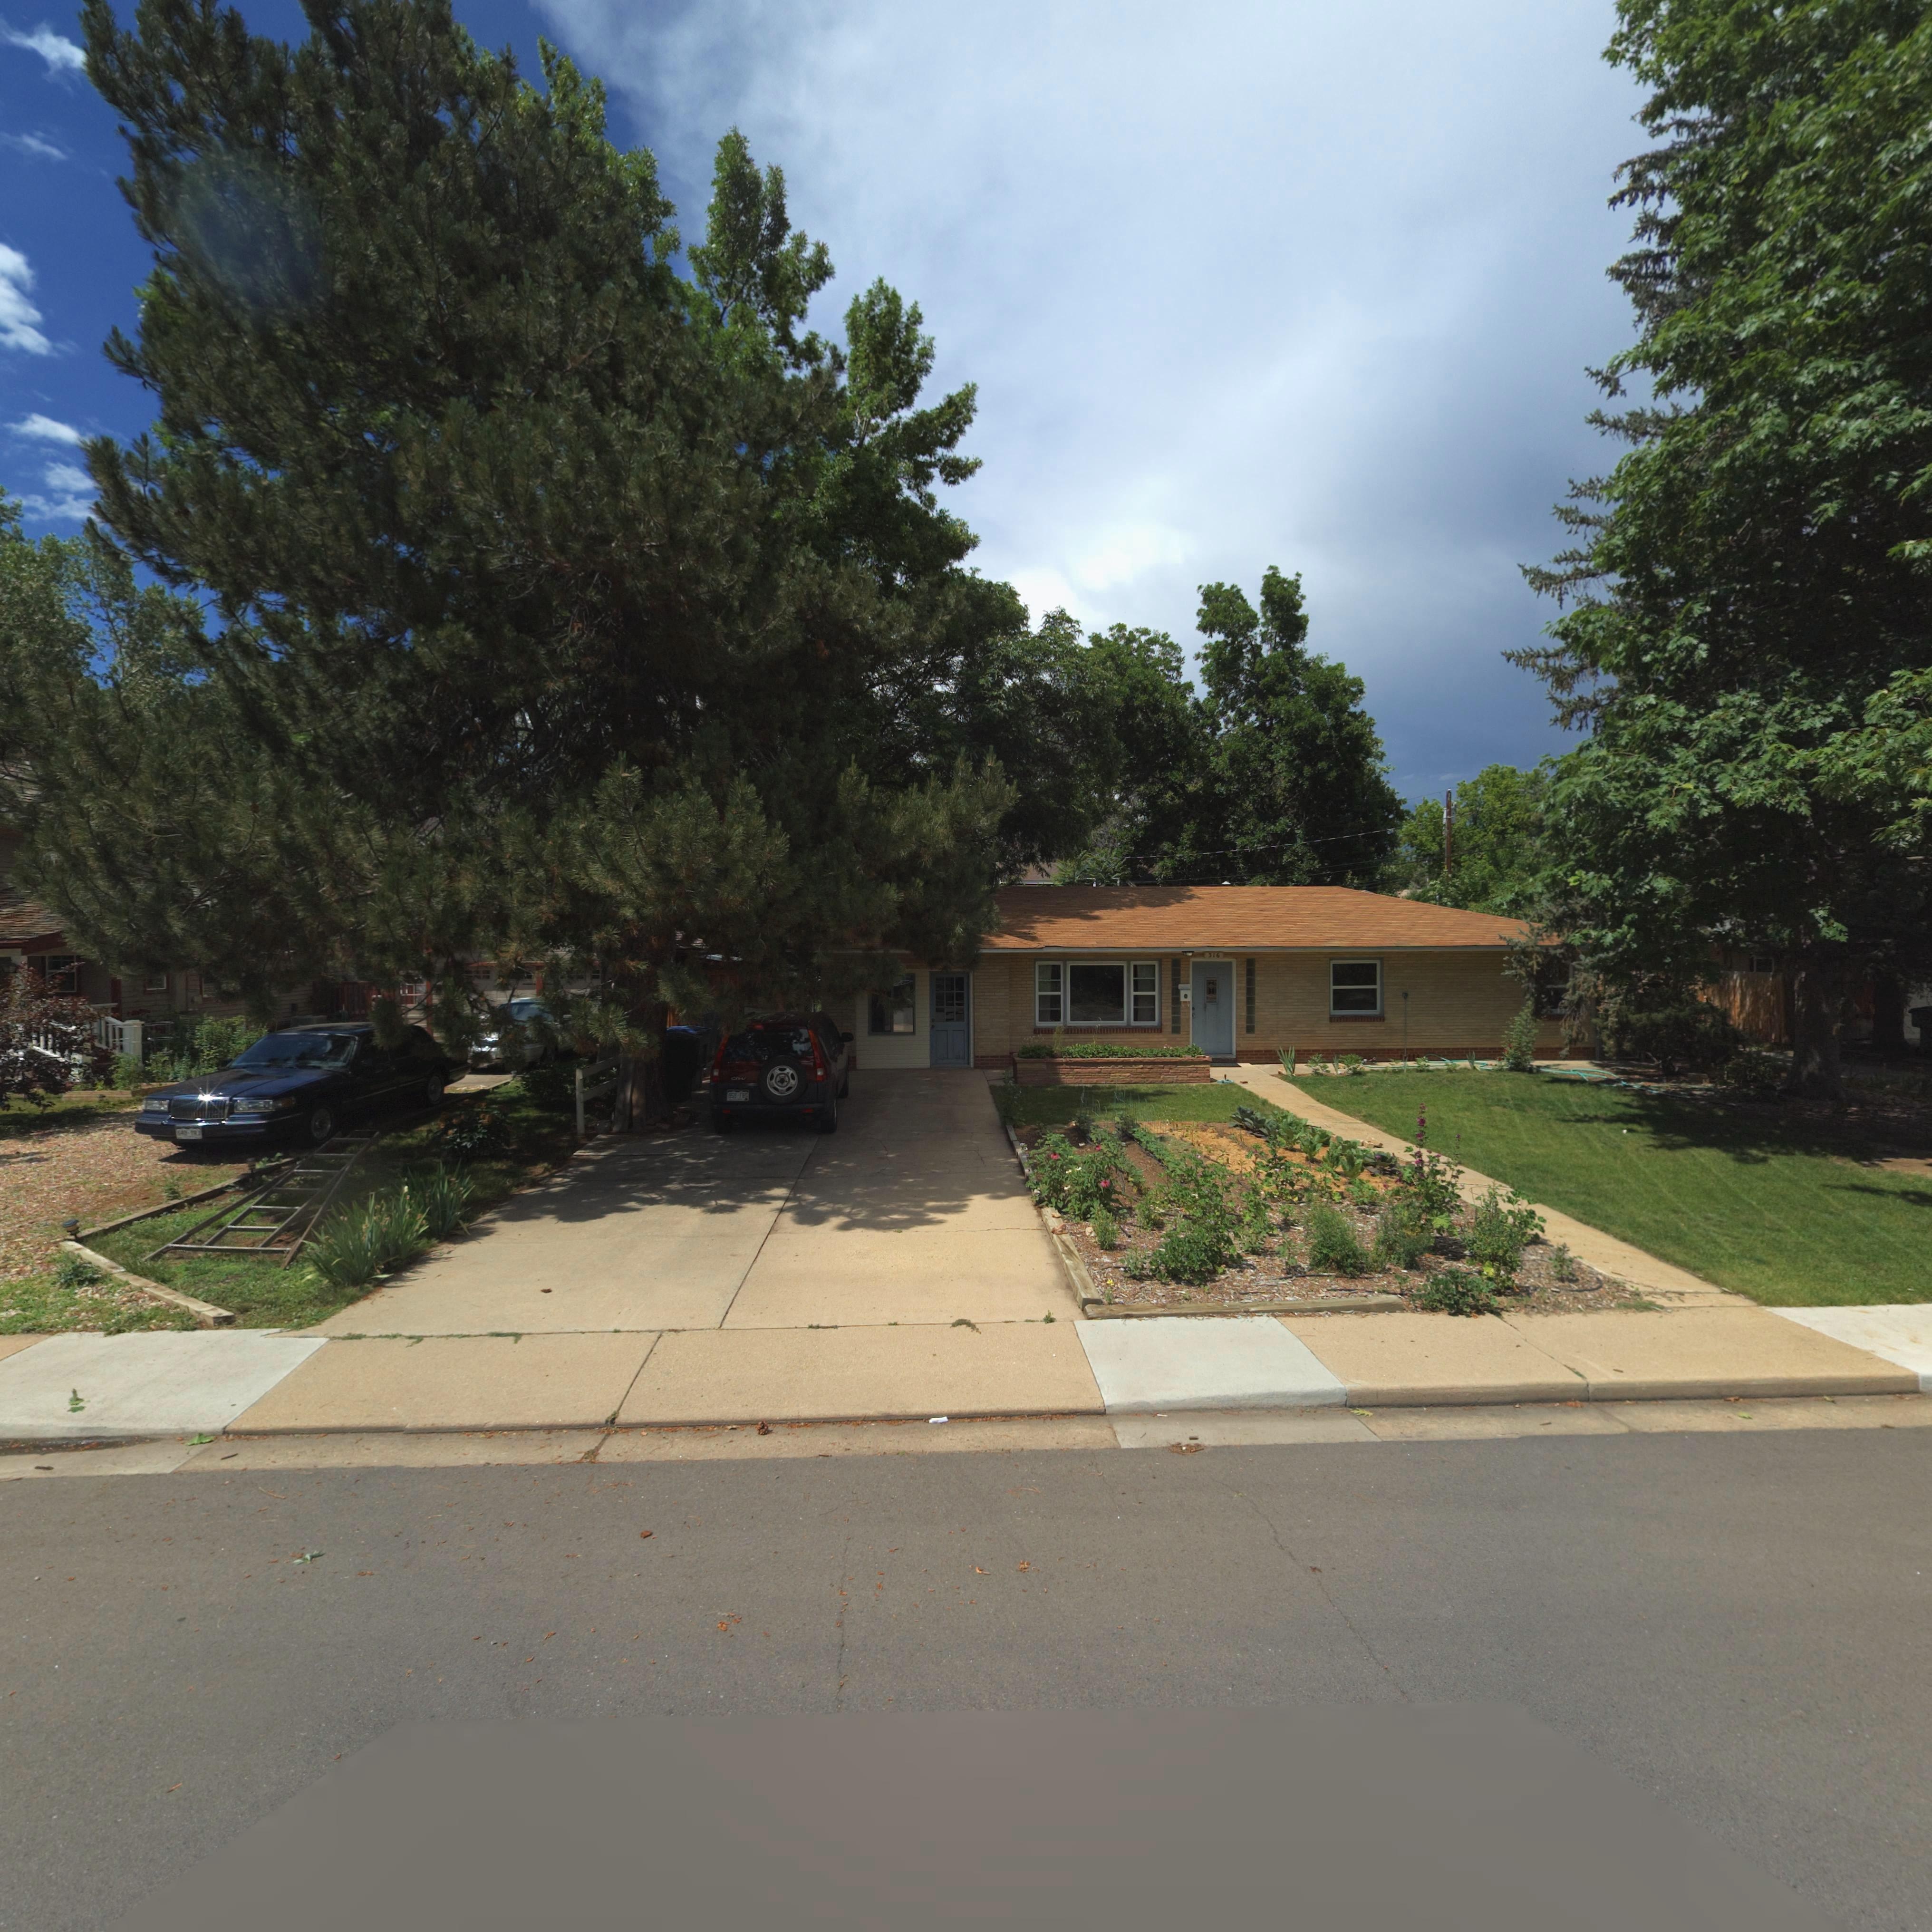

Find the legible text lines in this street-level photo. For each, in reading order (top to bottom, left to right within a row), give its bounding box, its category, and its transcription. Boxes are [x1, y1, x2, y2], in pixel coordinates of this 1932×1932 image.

[1207, 952, 1220, 958] StreetNumber: 316